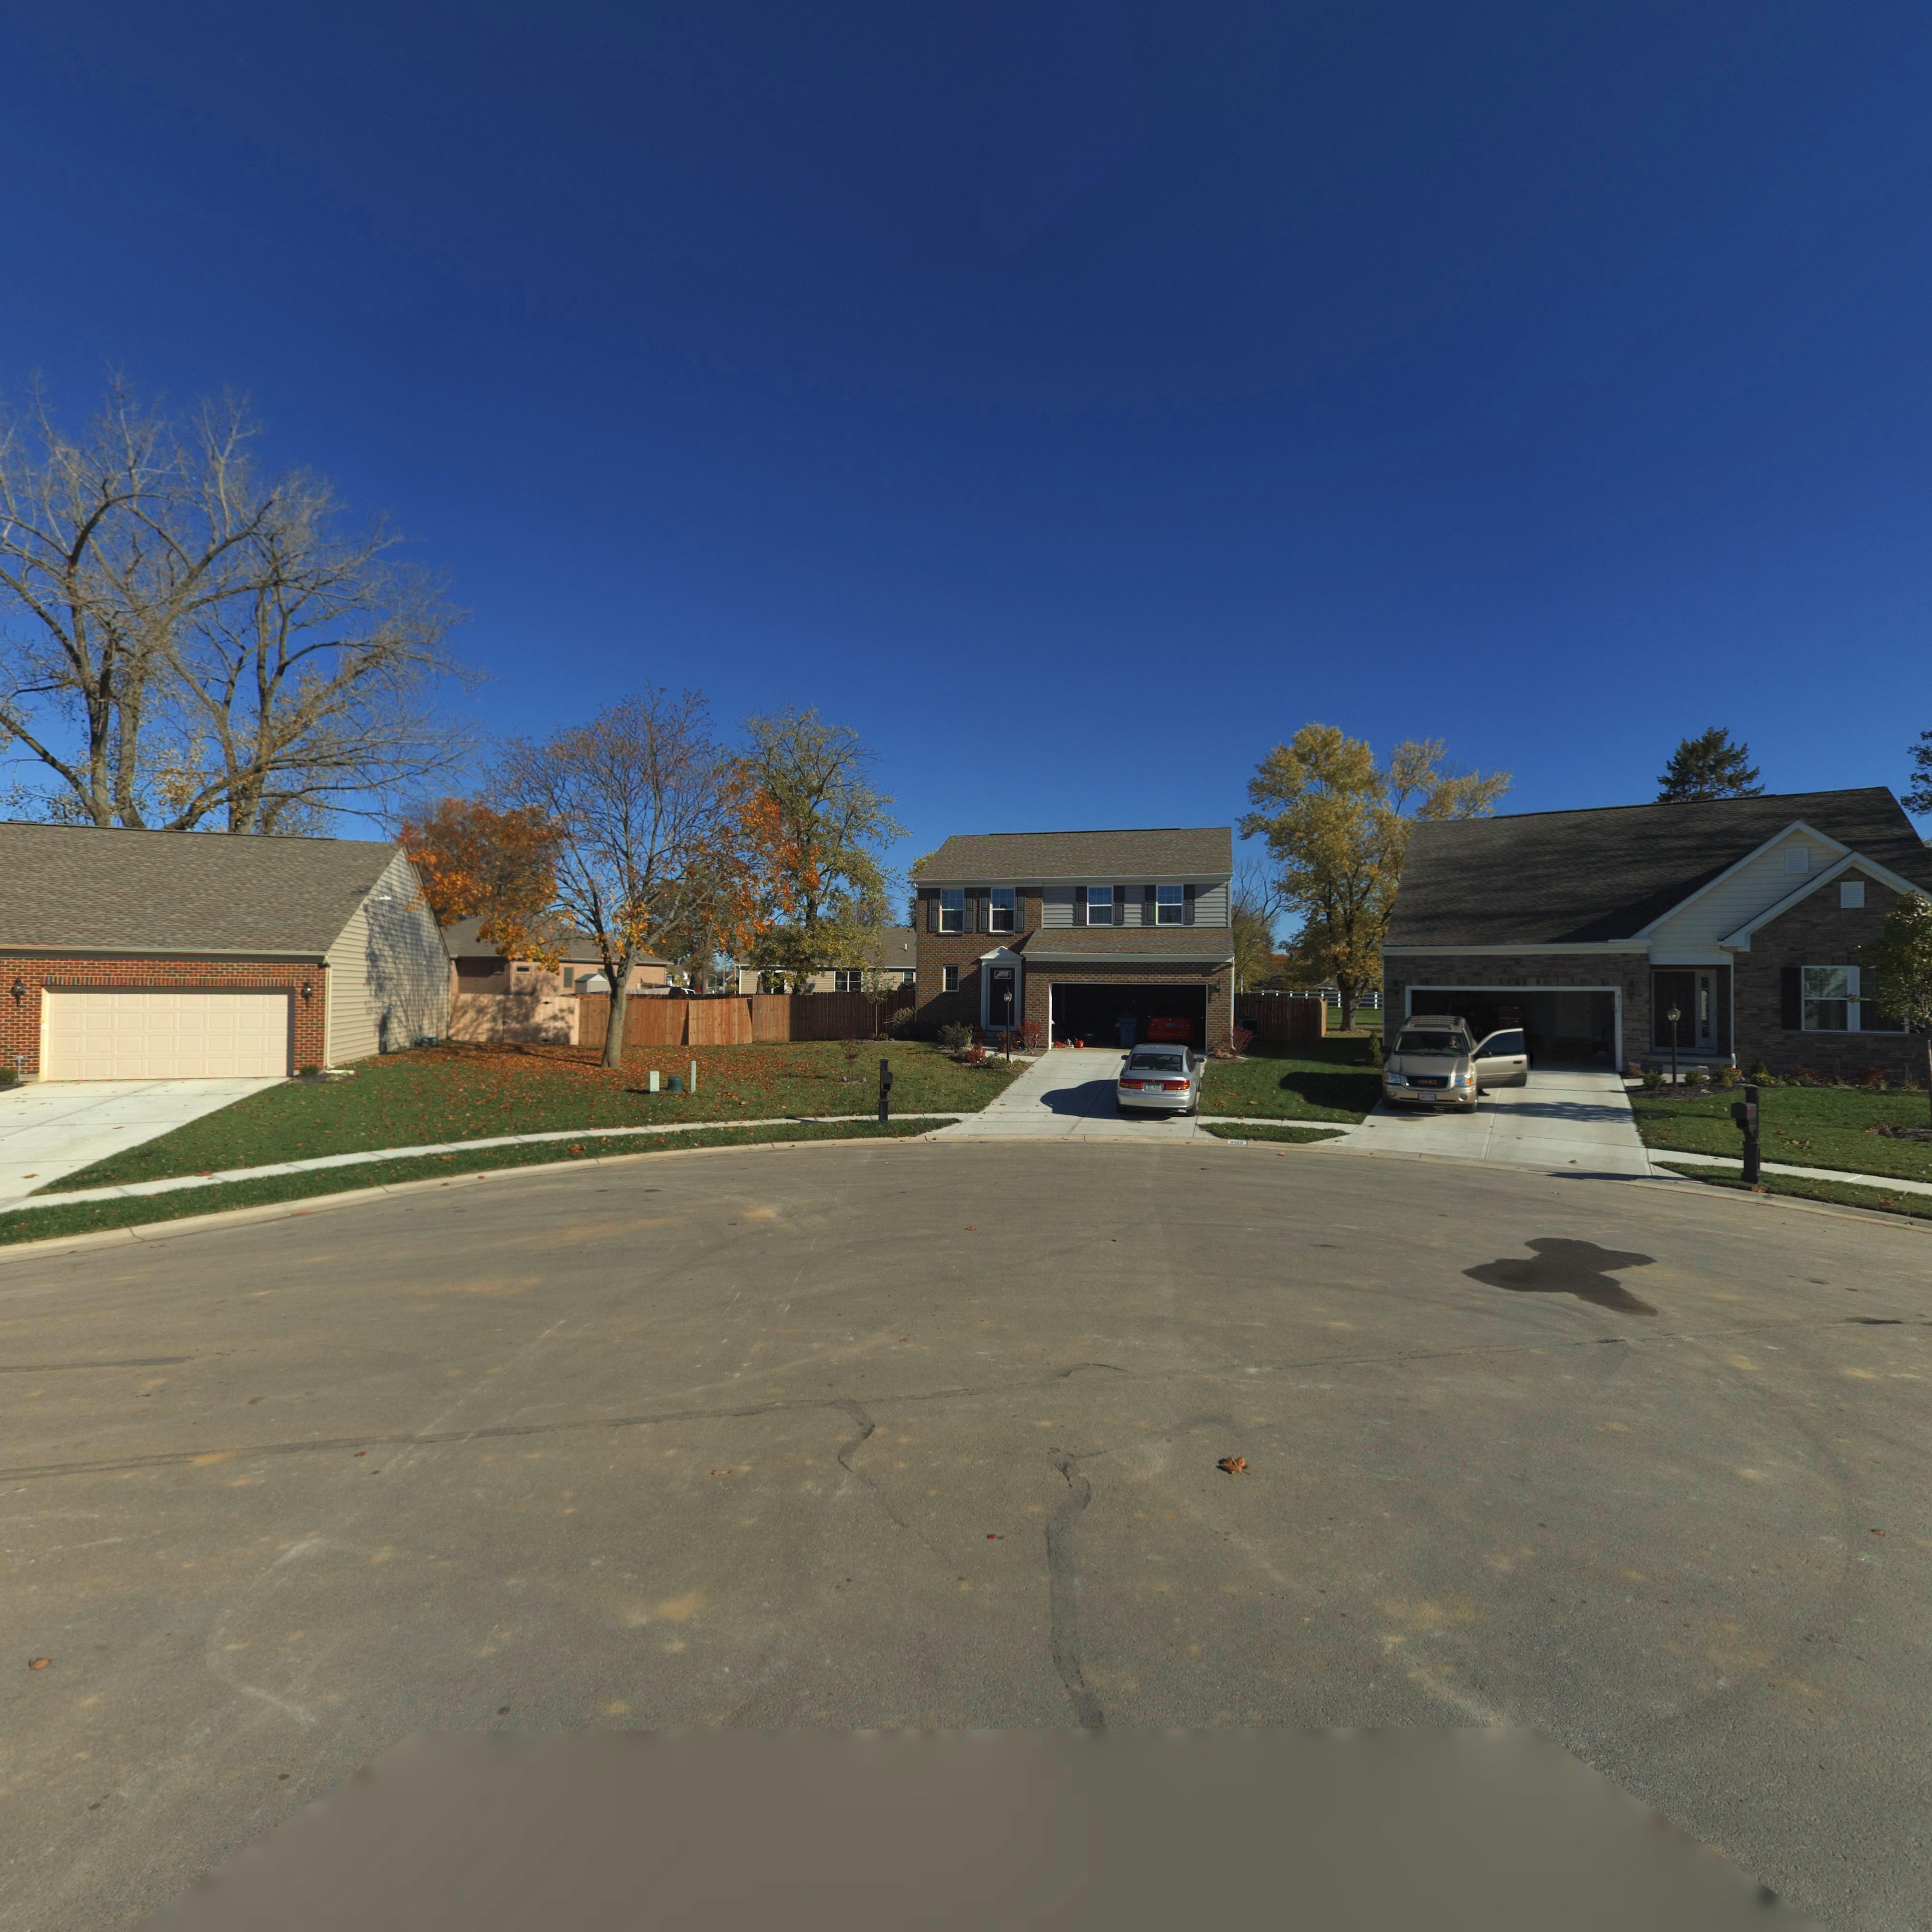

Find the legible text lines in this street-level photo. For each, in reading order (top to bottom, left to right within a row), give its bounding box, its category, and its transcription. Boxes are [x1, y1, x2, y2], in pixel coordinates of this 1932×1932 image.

[1617, 994, 1621, 1013] StreetNumber: 3111
[1230, 1140, 1244, 1144] StreetNumber: 310*